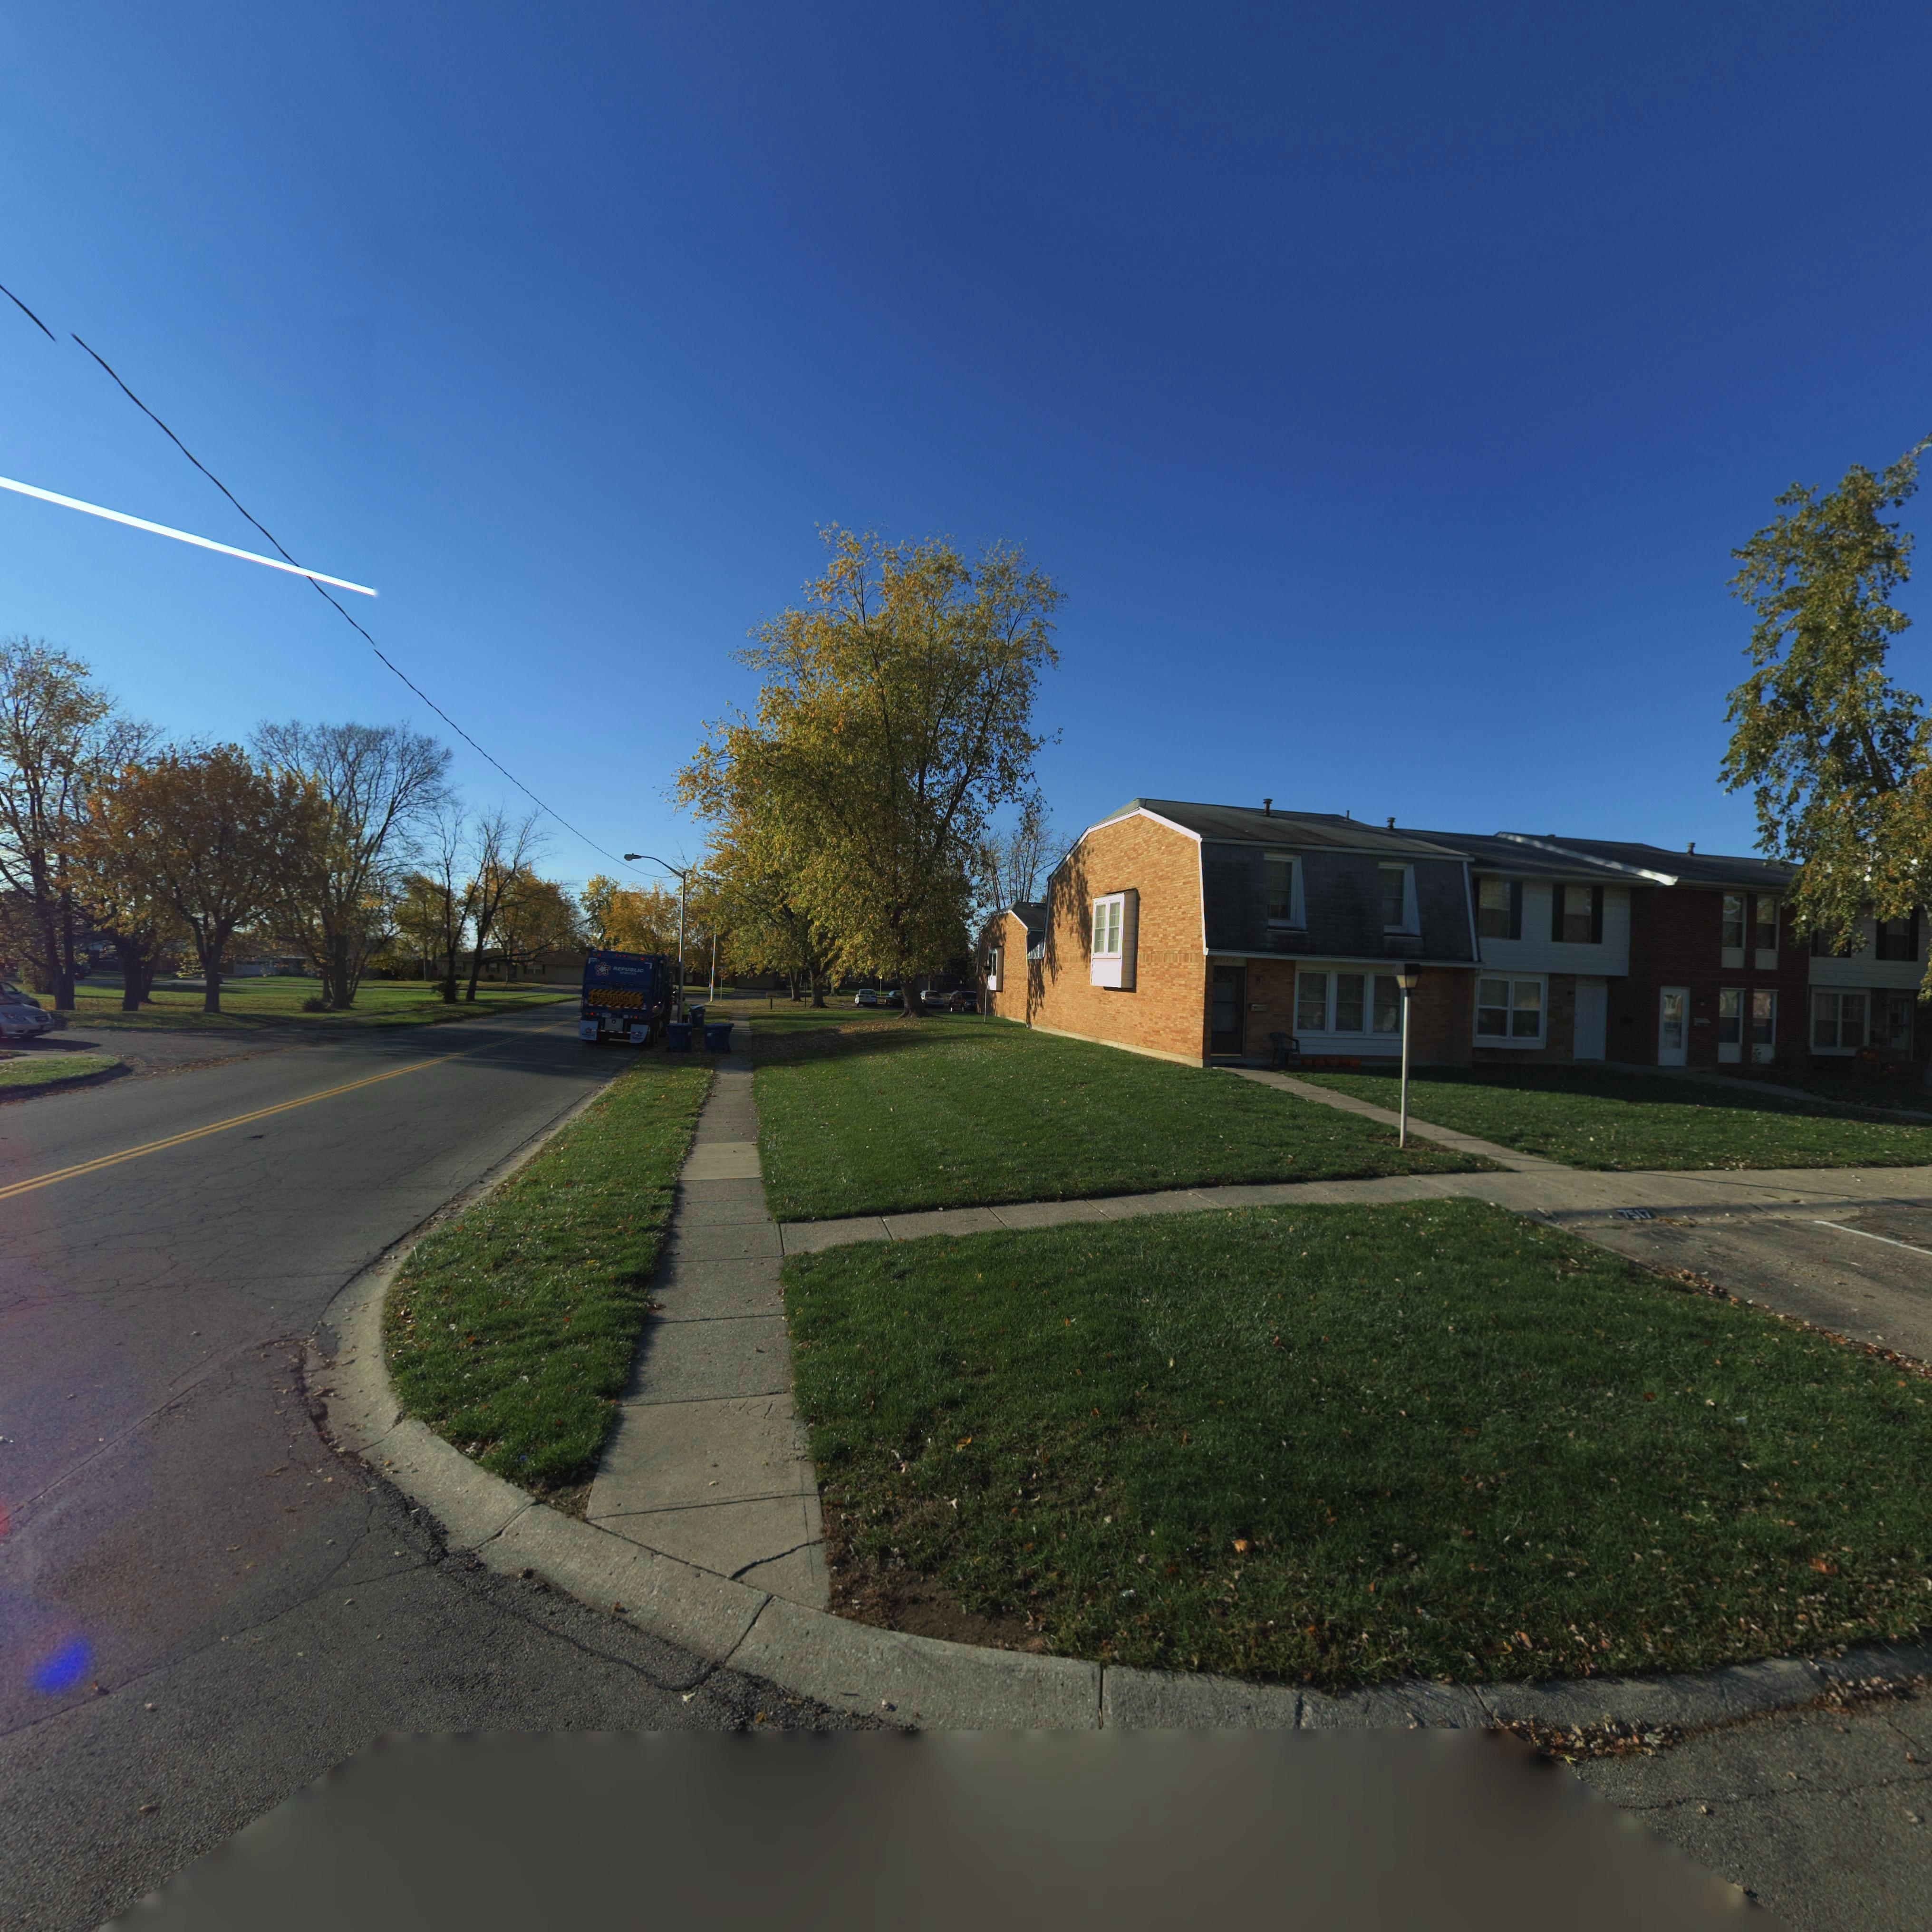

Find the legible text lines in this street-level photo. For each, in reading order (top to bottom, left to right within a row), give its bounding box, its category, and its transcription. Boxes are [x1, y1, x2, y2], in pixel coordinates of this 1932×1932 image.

[1213, 956, 1237, 964] StreetNumber: 7517
[611, 965, 647, 974] None: REPUBLIC
[597, 992, 631, 1003] None: CAUTION
[1614, 1208, 1653, 1221] StreetNumber: 7517